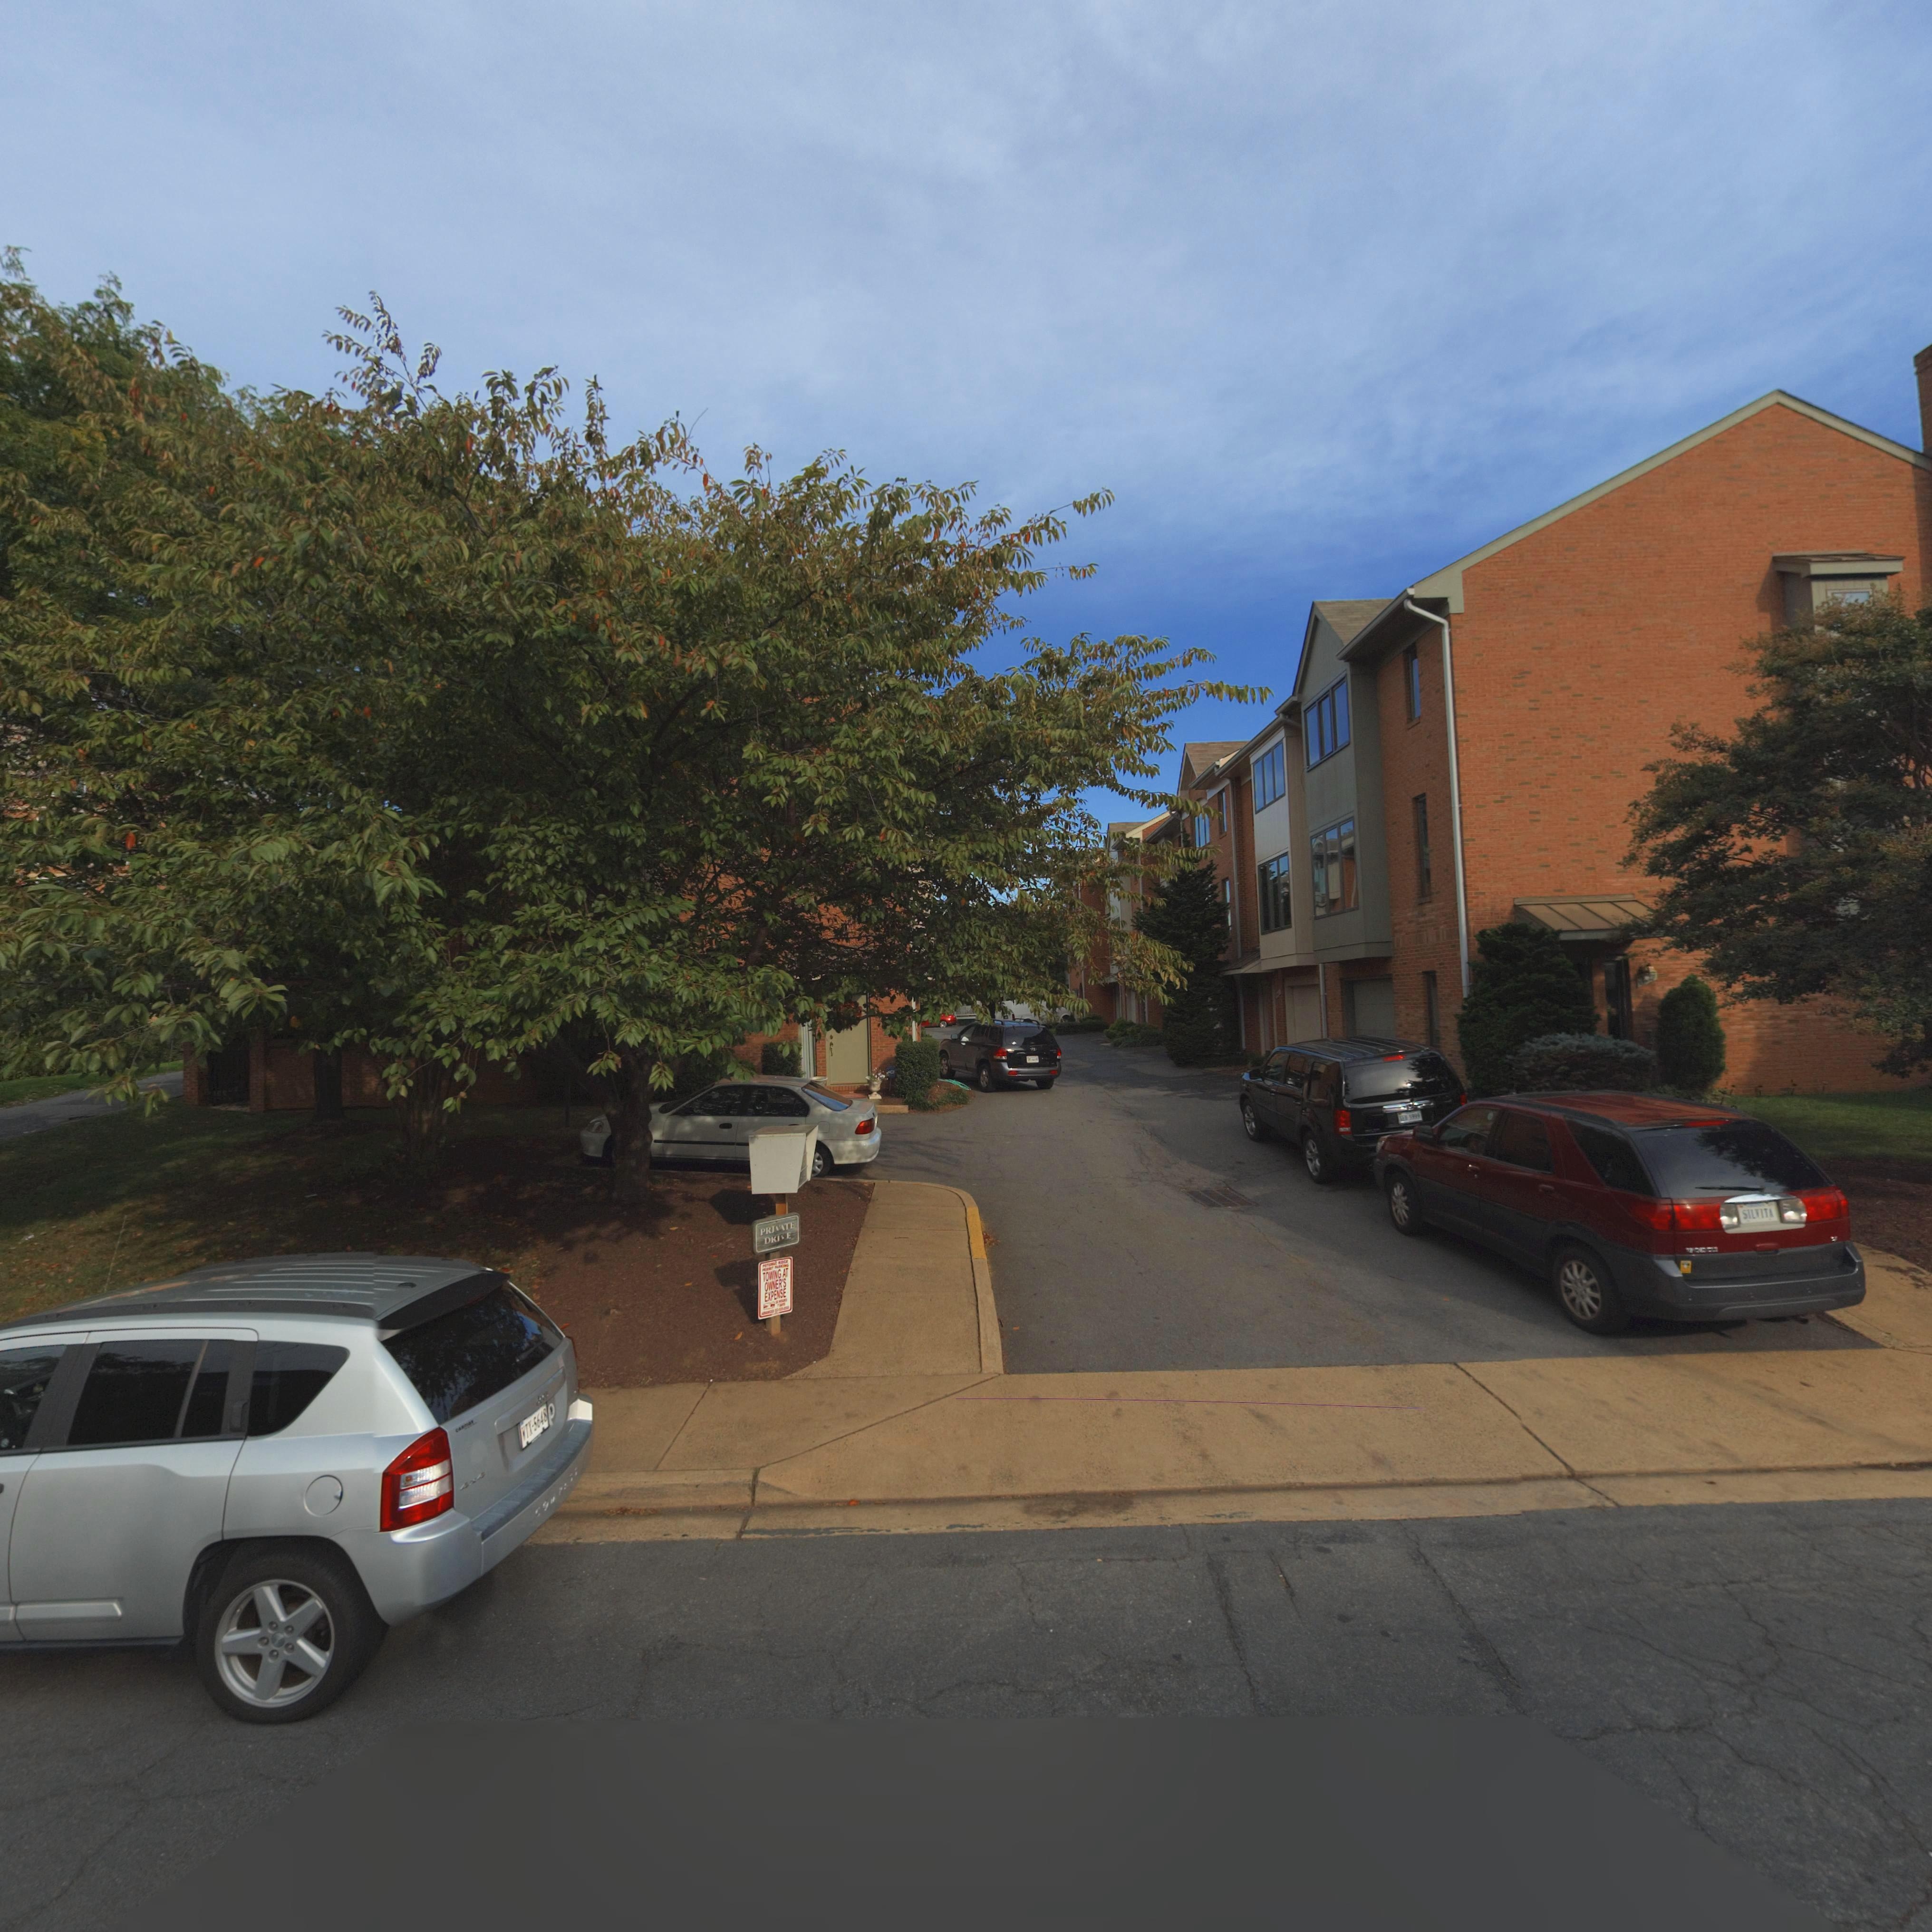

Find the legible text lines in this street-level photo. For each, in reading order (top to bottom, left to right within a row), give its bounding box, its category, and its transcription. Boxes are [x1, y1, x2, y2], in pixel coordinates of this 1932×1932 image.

[1399, 1112, 1421, 1121] None: XEM 5999
[1741, 1207, 1775, 1220] None: SILVITA
[760, 1221, 795, 1236] None: PRIVATE
[764, 1231, 792, 1245] None: DRIVE
[762, 1267, 789, 1282] None: TOWING AT
[764, 1277, 787, 1292] None: OWNER'S
[764, 1287, 787, 1303] None: EXPENSE
[454, 1419, 474, 1433] None: CARMAX
[520, 1406, 549, 1443] None: VIX-5648
[458, 1471, 485, 1492] None: 4X4